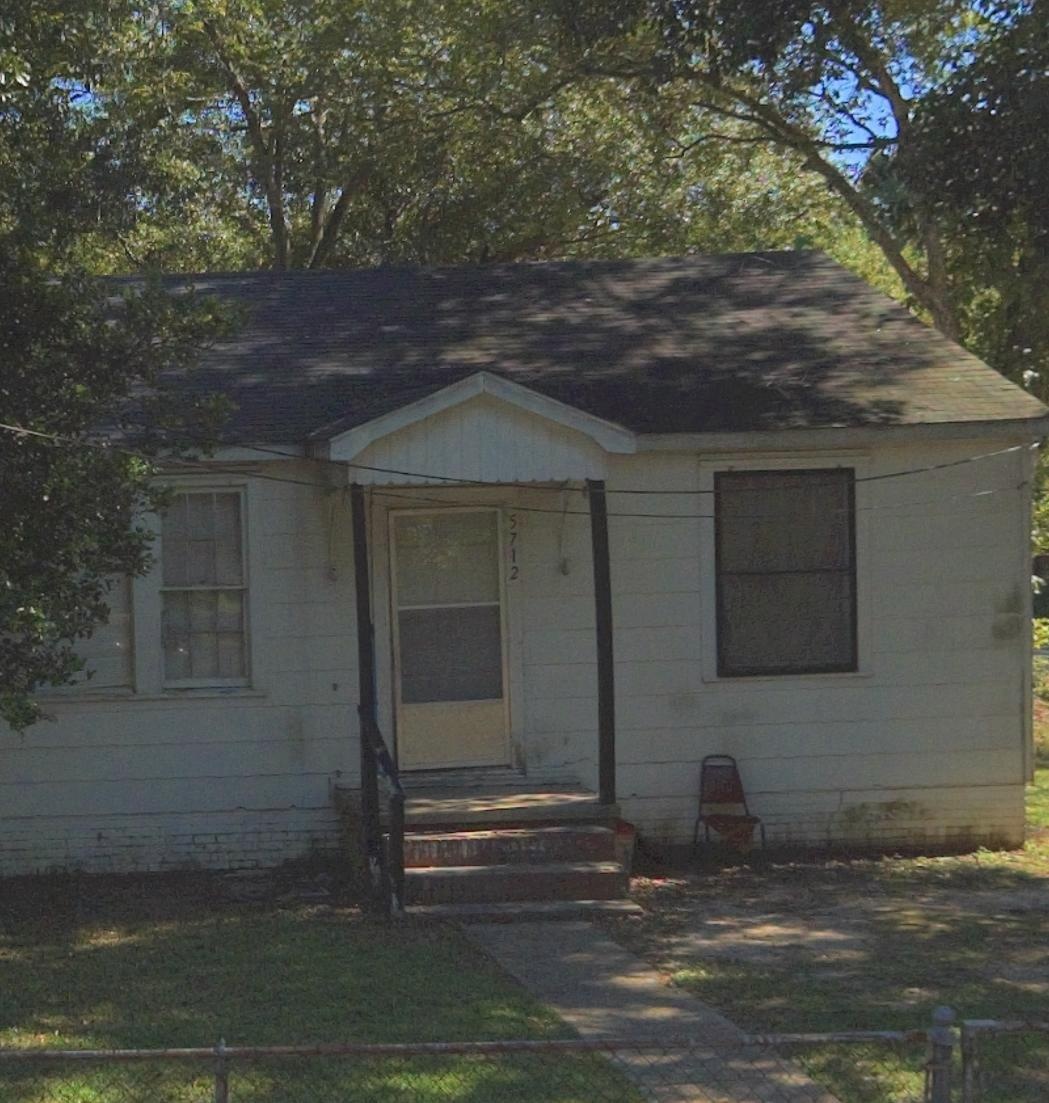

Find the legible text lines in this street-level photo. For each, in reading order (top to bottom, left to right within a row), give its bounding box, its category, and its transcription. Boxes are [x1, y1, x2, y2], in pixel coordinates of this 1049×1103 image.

[507, 514, 520, 581] StreetNumber: 5712